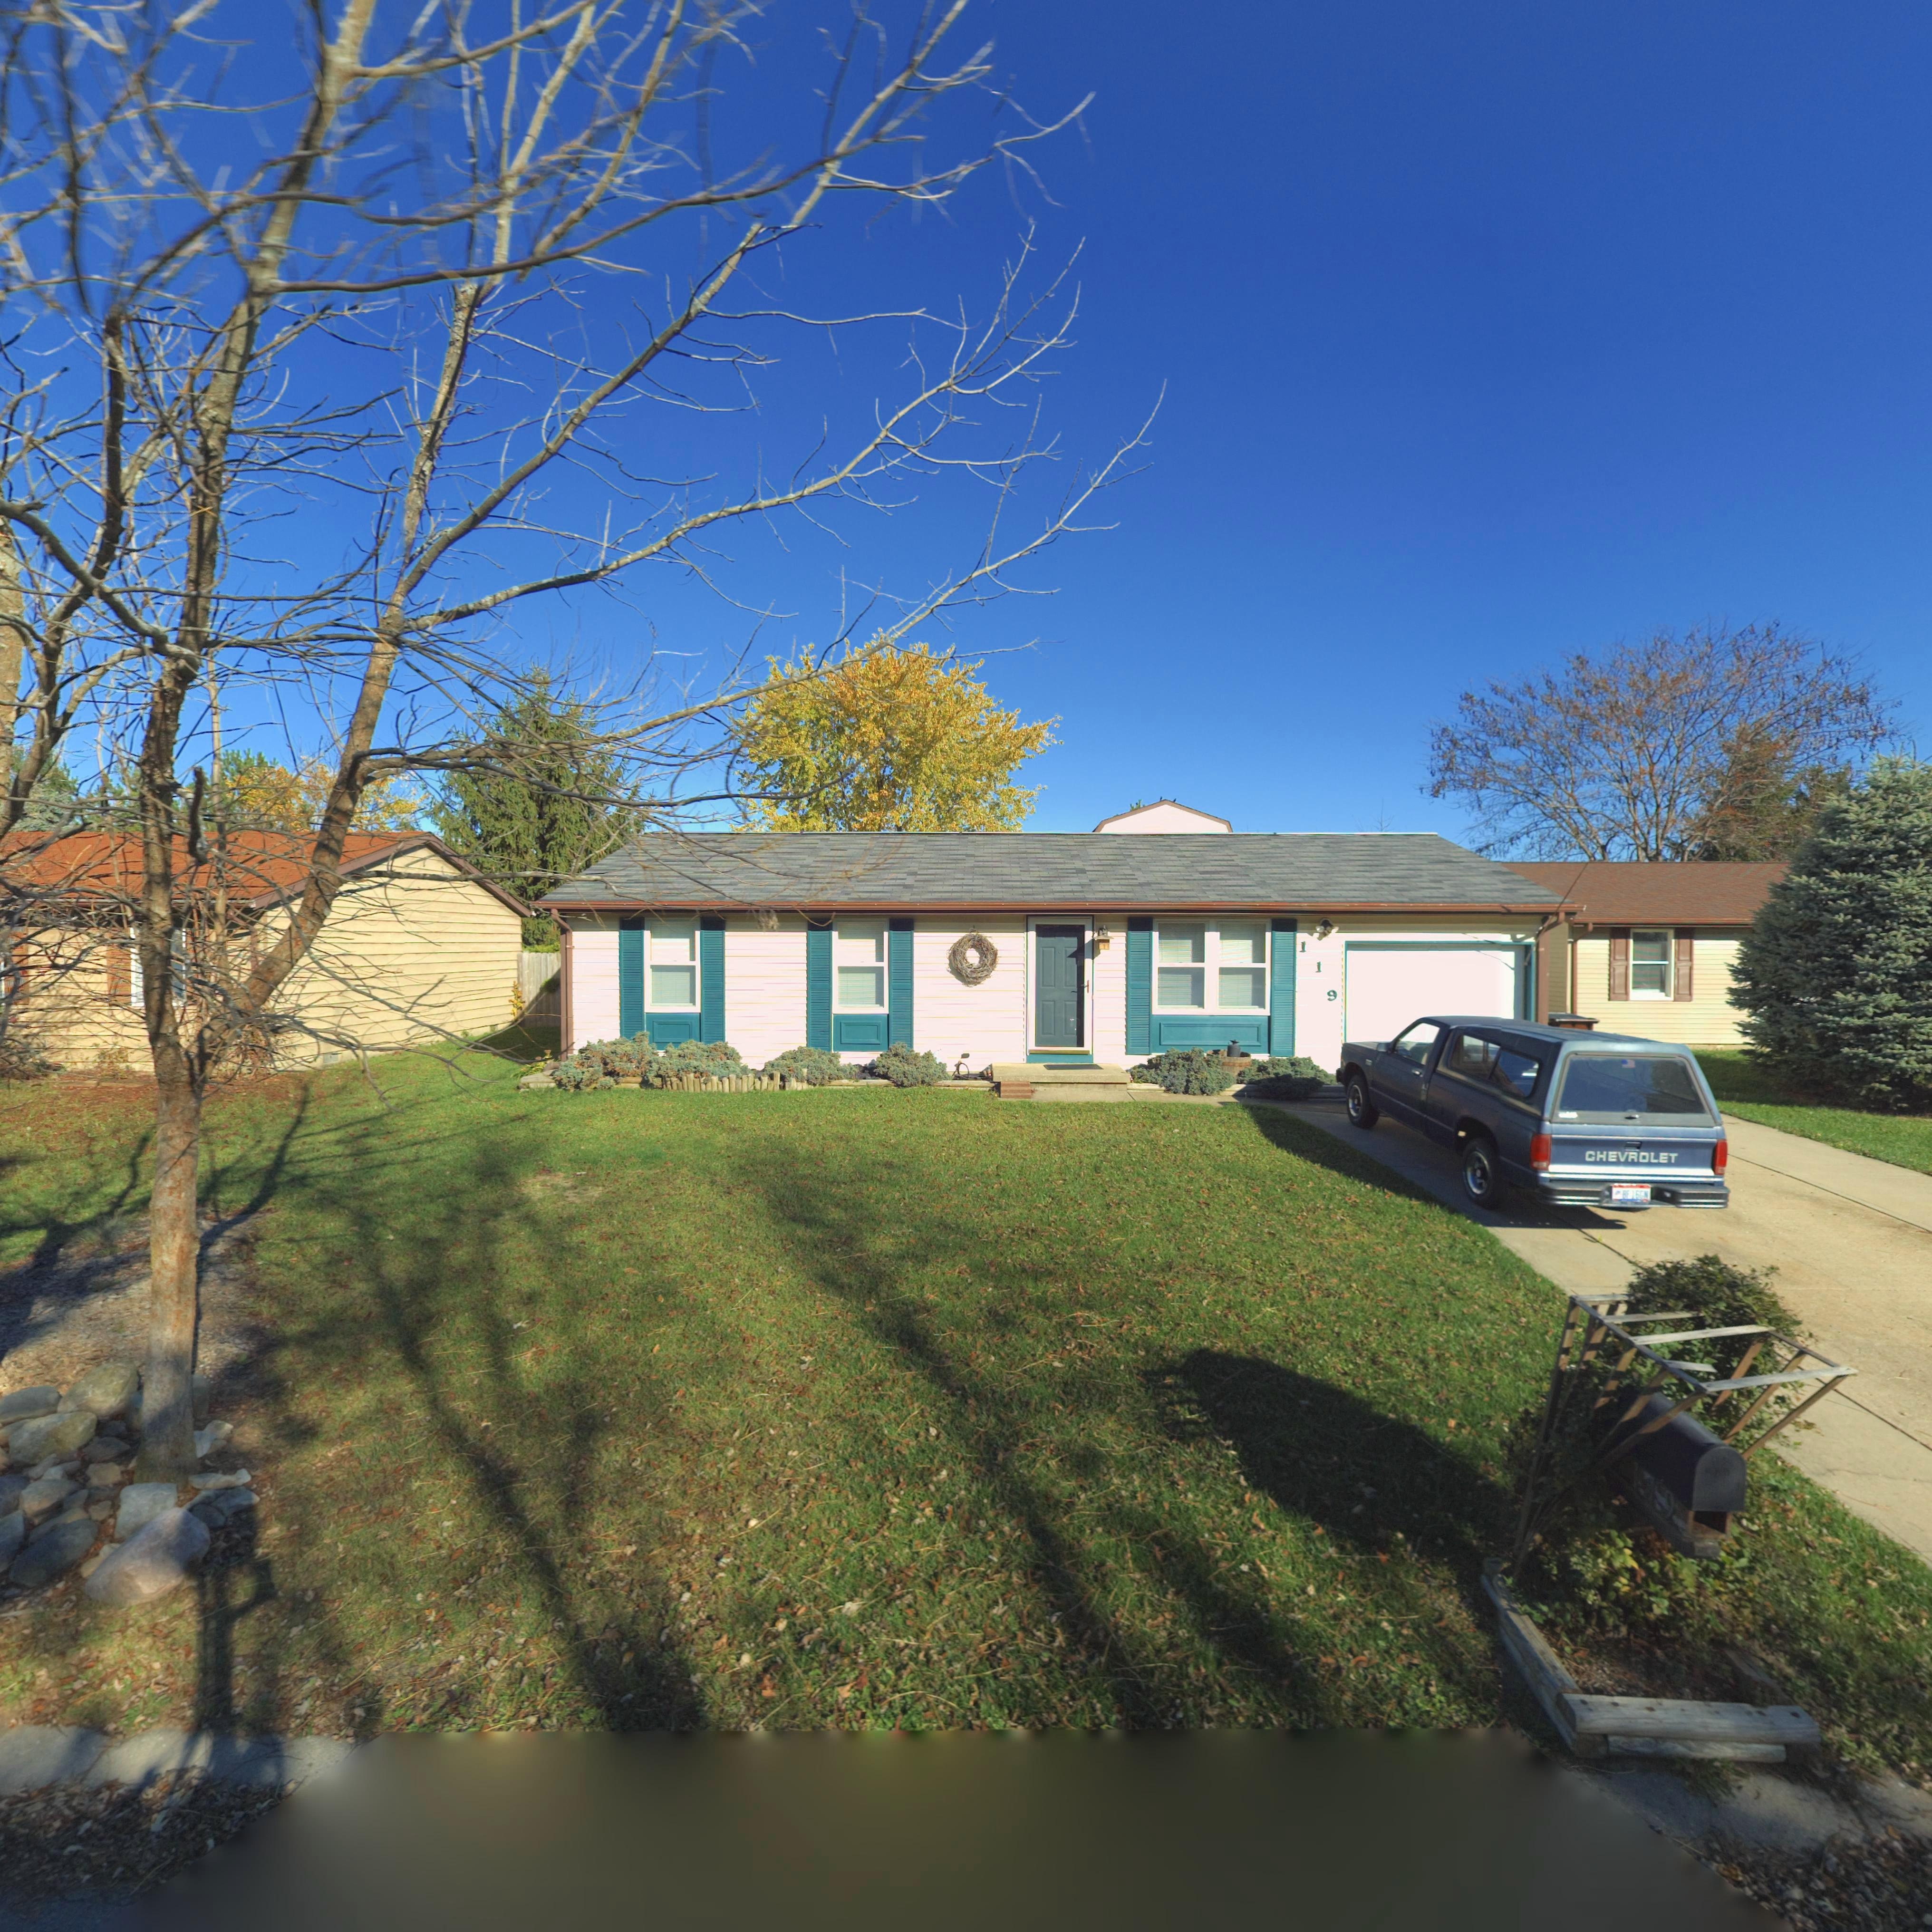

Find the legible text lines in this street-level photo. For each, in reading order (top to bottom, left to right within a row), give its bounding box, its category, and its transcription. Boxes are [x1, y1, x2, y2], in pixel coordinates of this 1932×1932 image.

[1299, 940, 1338, 1002] StreetNumber: 119